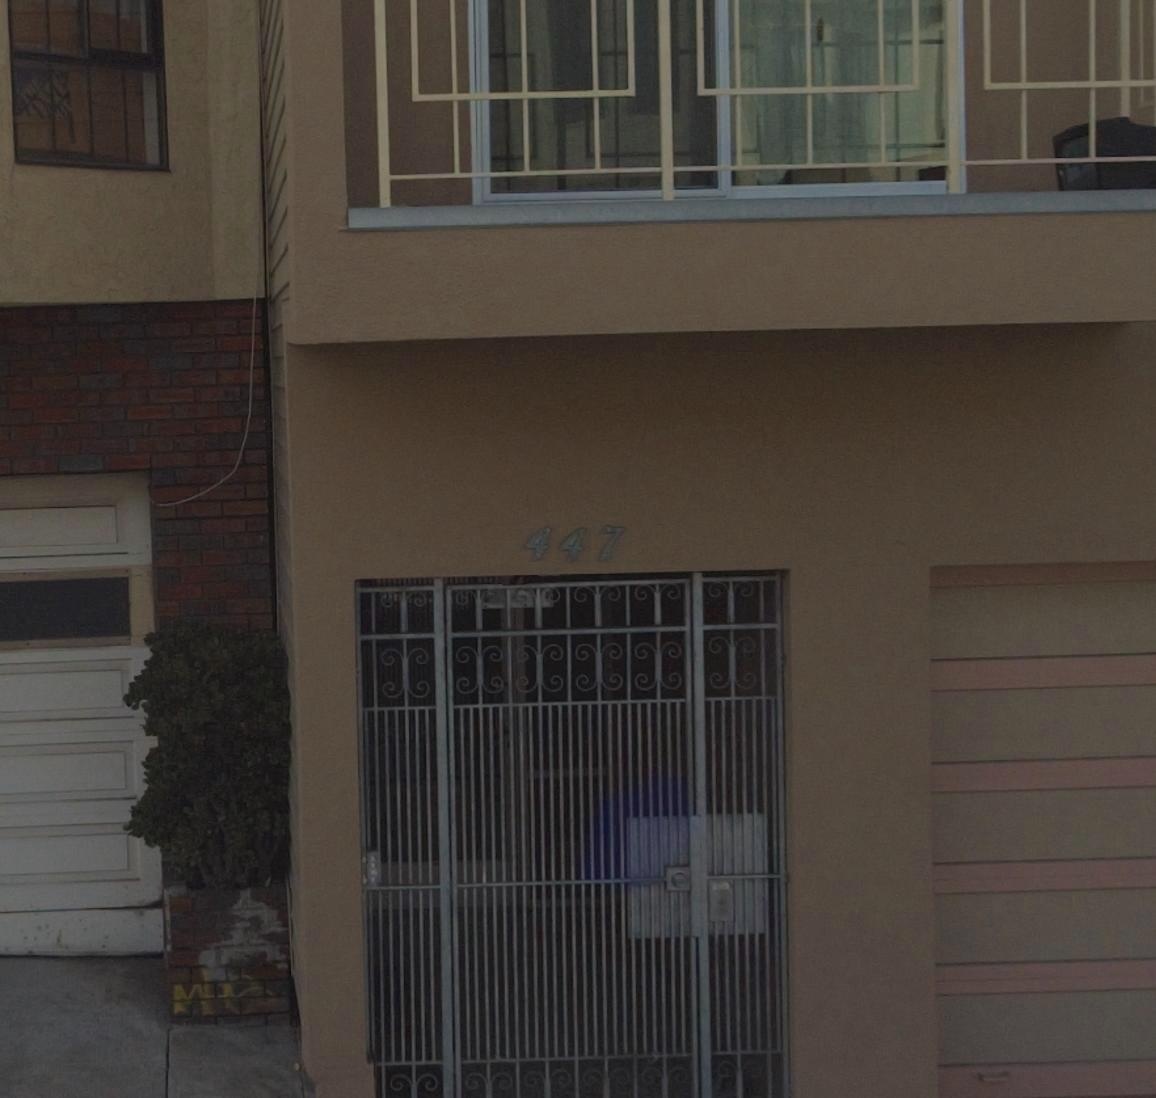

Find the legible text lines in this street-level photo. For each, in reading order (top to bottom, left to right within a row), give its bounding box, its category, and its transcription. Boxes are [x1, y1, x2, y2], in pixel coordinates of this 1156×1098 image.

[520, 523, 631, 565] StreetNumber: 447